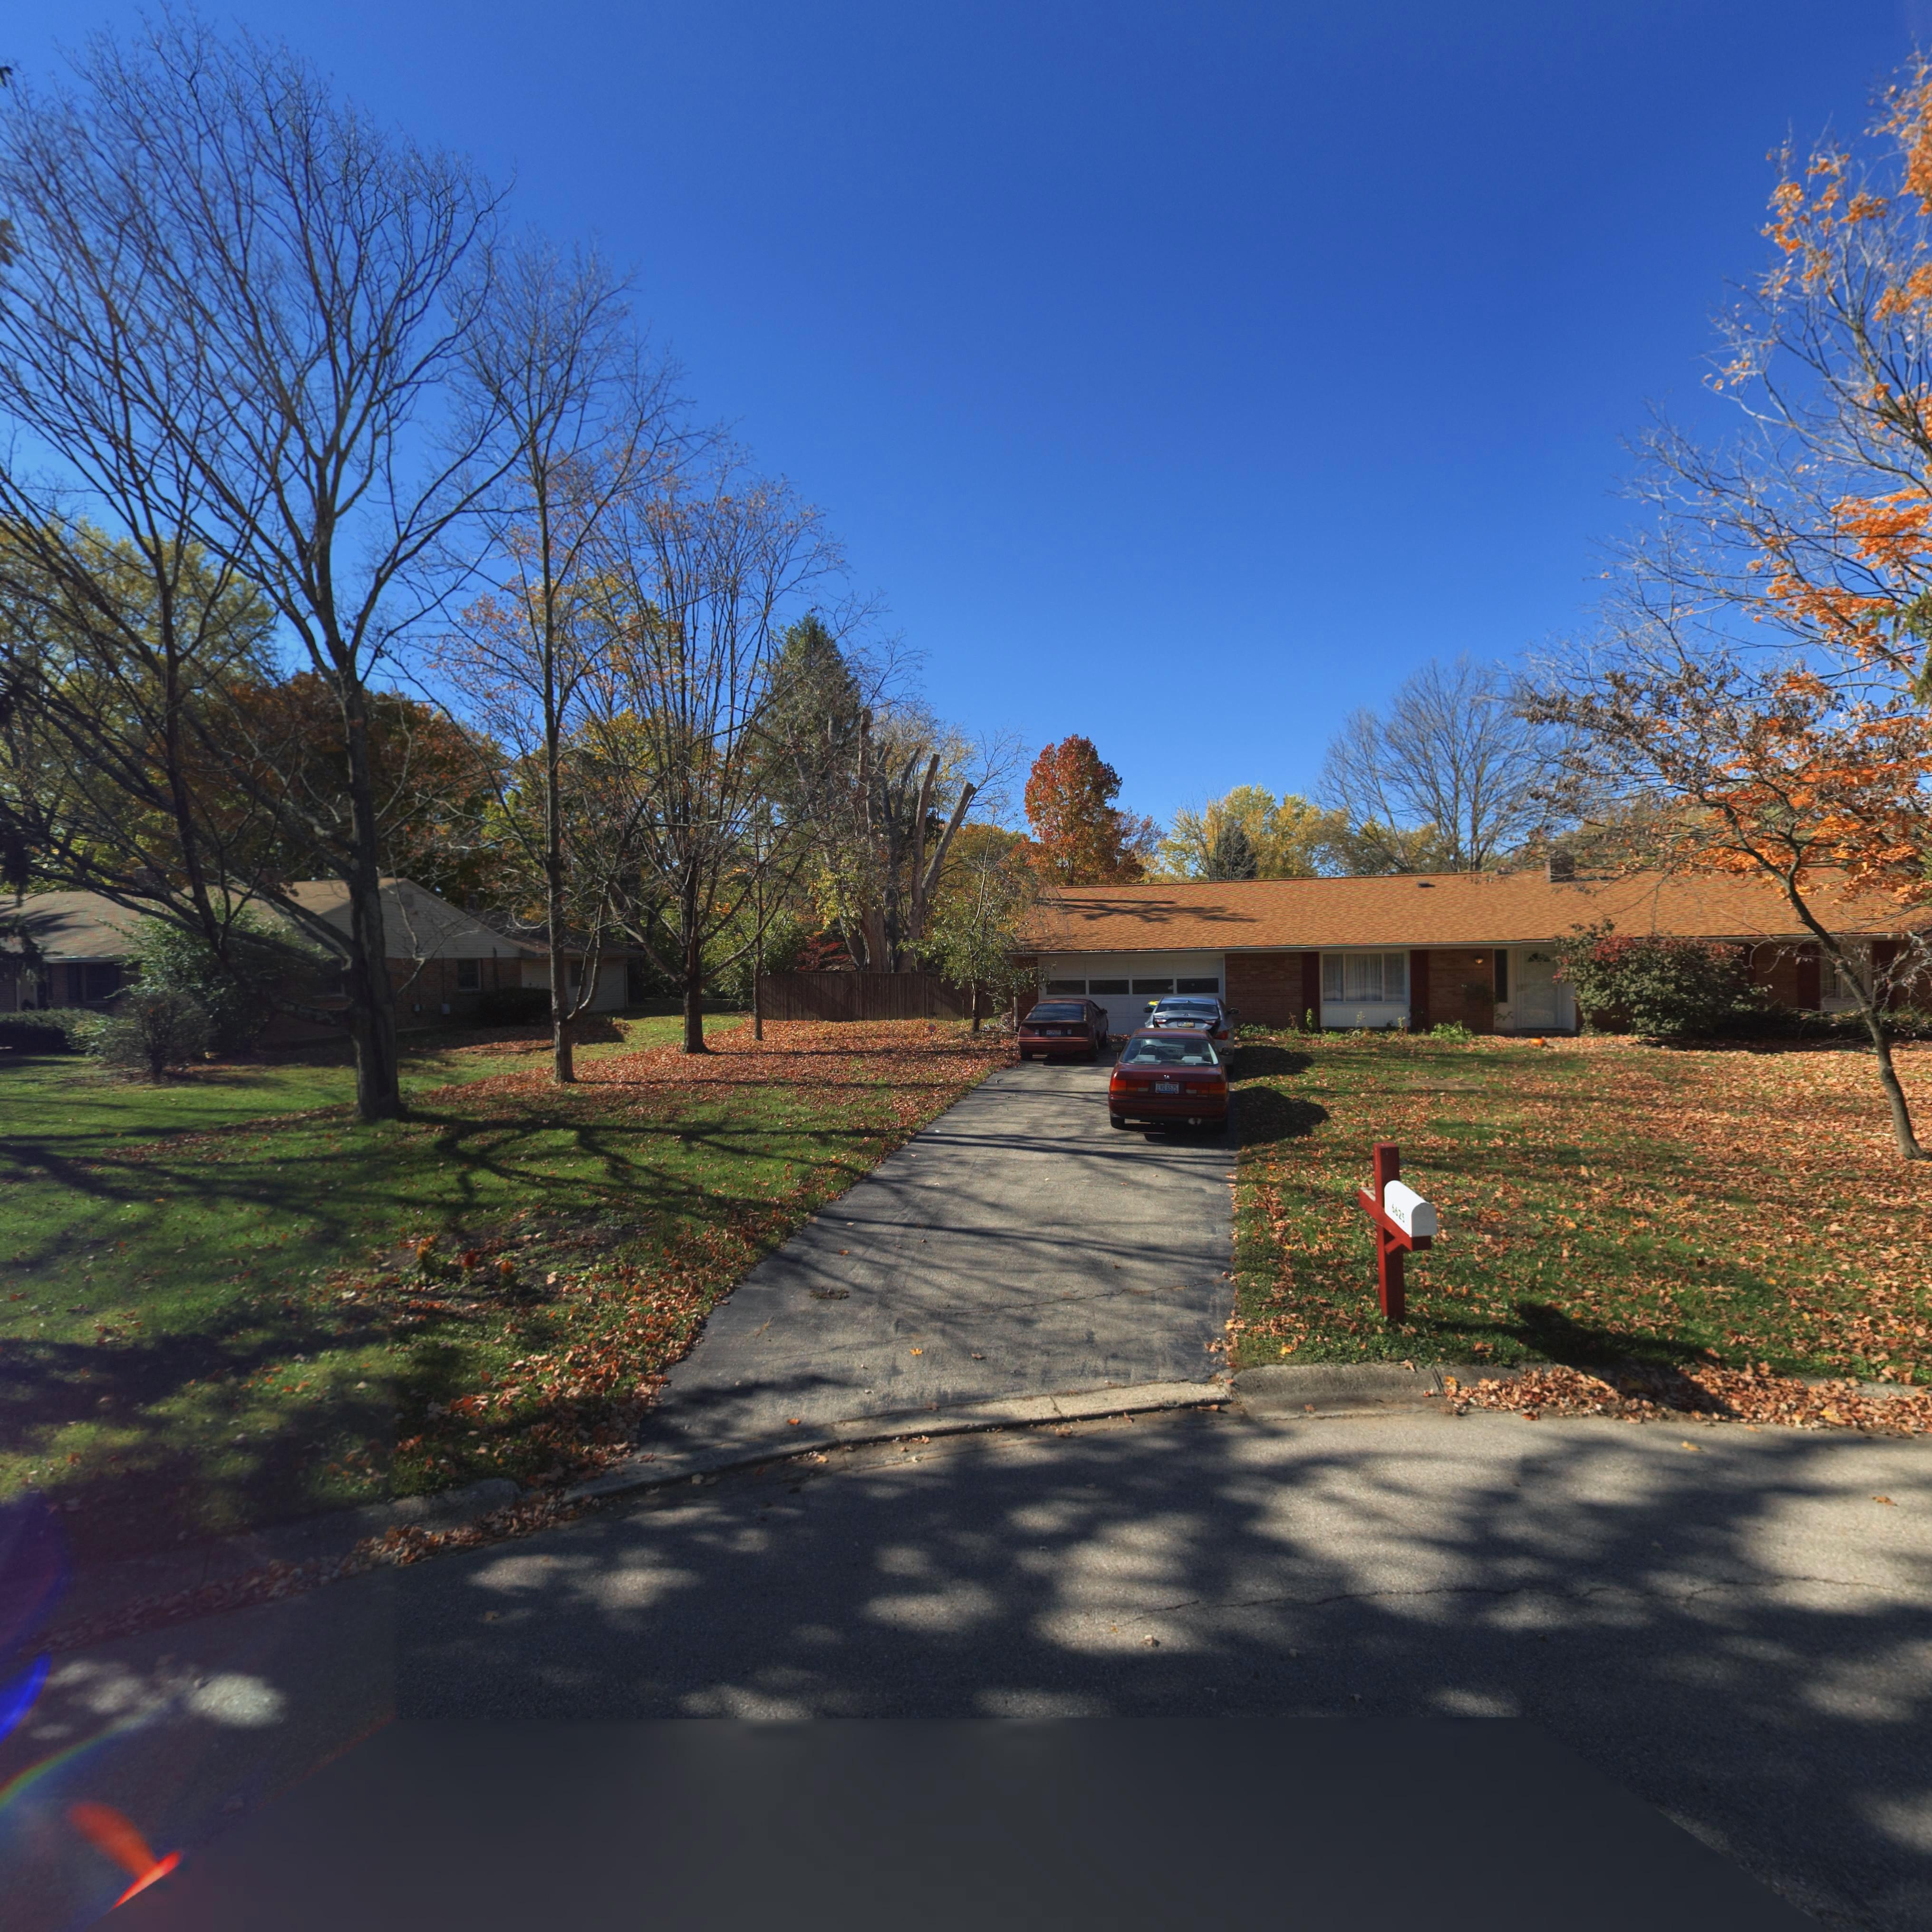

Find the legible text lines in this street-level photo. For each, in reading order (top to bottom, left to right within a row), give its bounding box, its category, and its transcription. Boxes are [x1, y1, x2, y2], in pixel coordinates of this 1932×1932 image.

[1391, 1202, 1405, 1224] StreetNumber: 6625